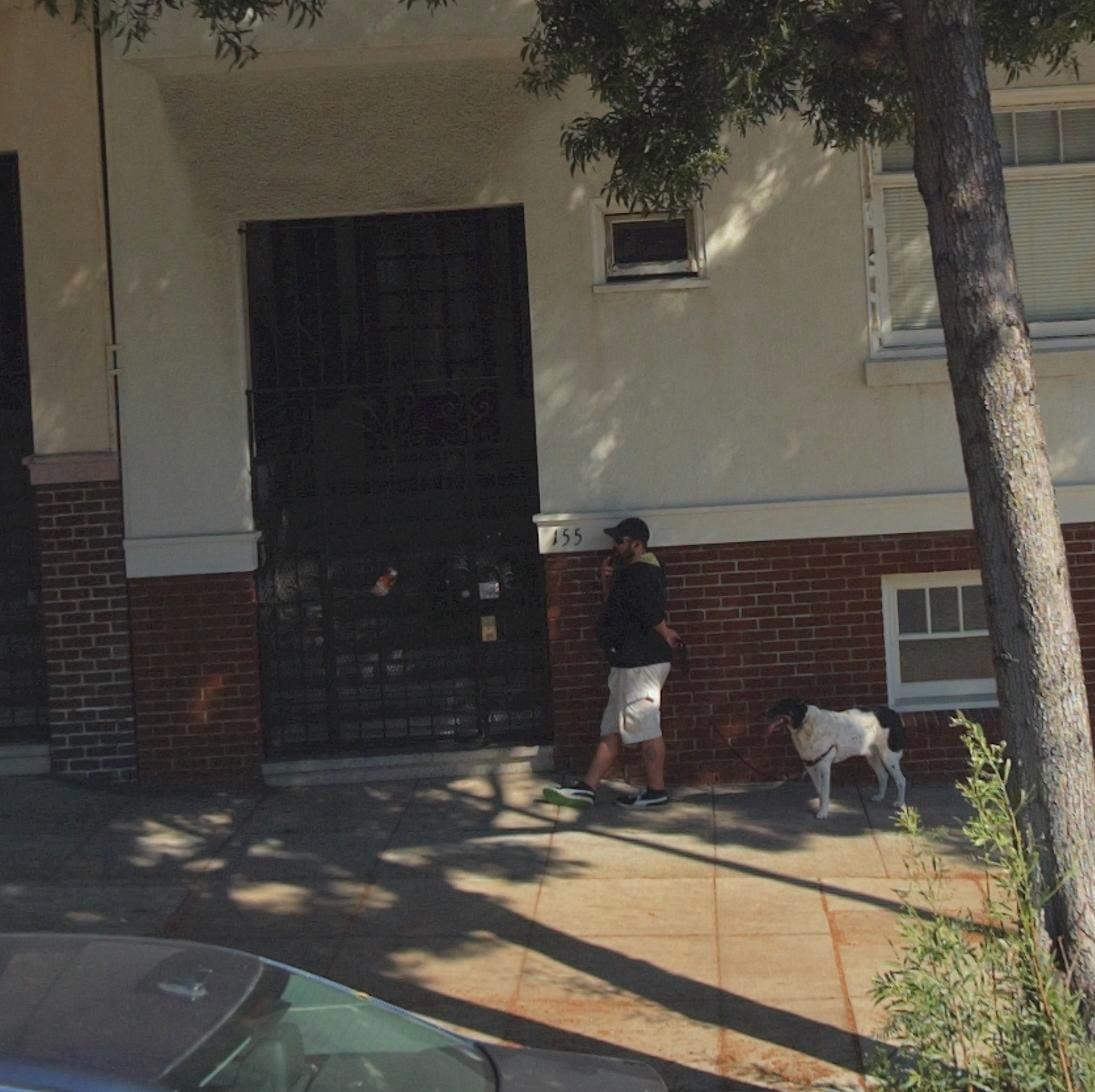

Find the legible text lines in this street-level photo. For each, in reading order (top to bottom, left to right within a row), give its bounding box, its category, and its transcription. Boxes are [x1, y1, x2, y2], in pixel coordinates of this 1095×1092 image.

[550, 526, 584, 548] StreetNumber: 155